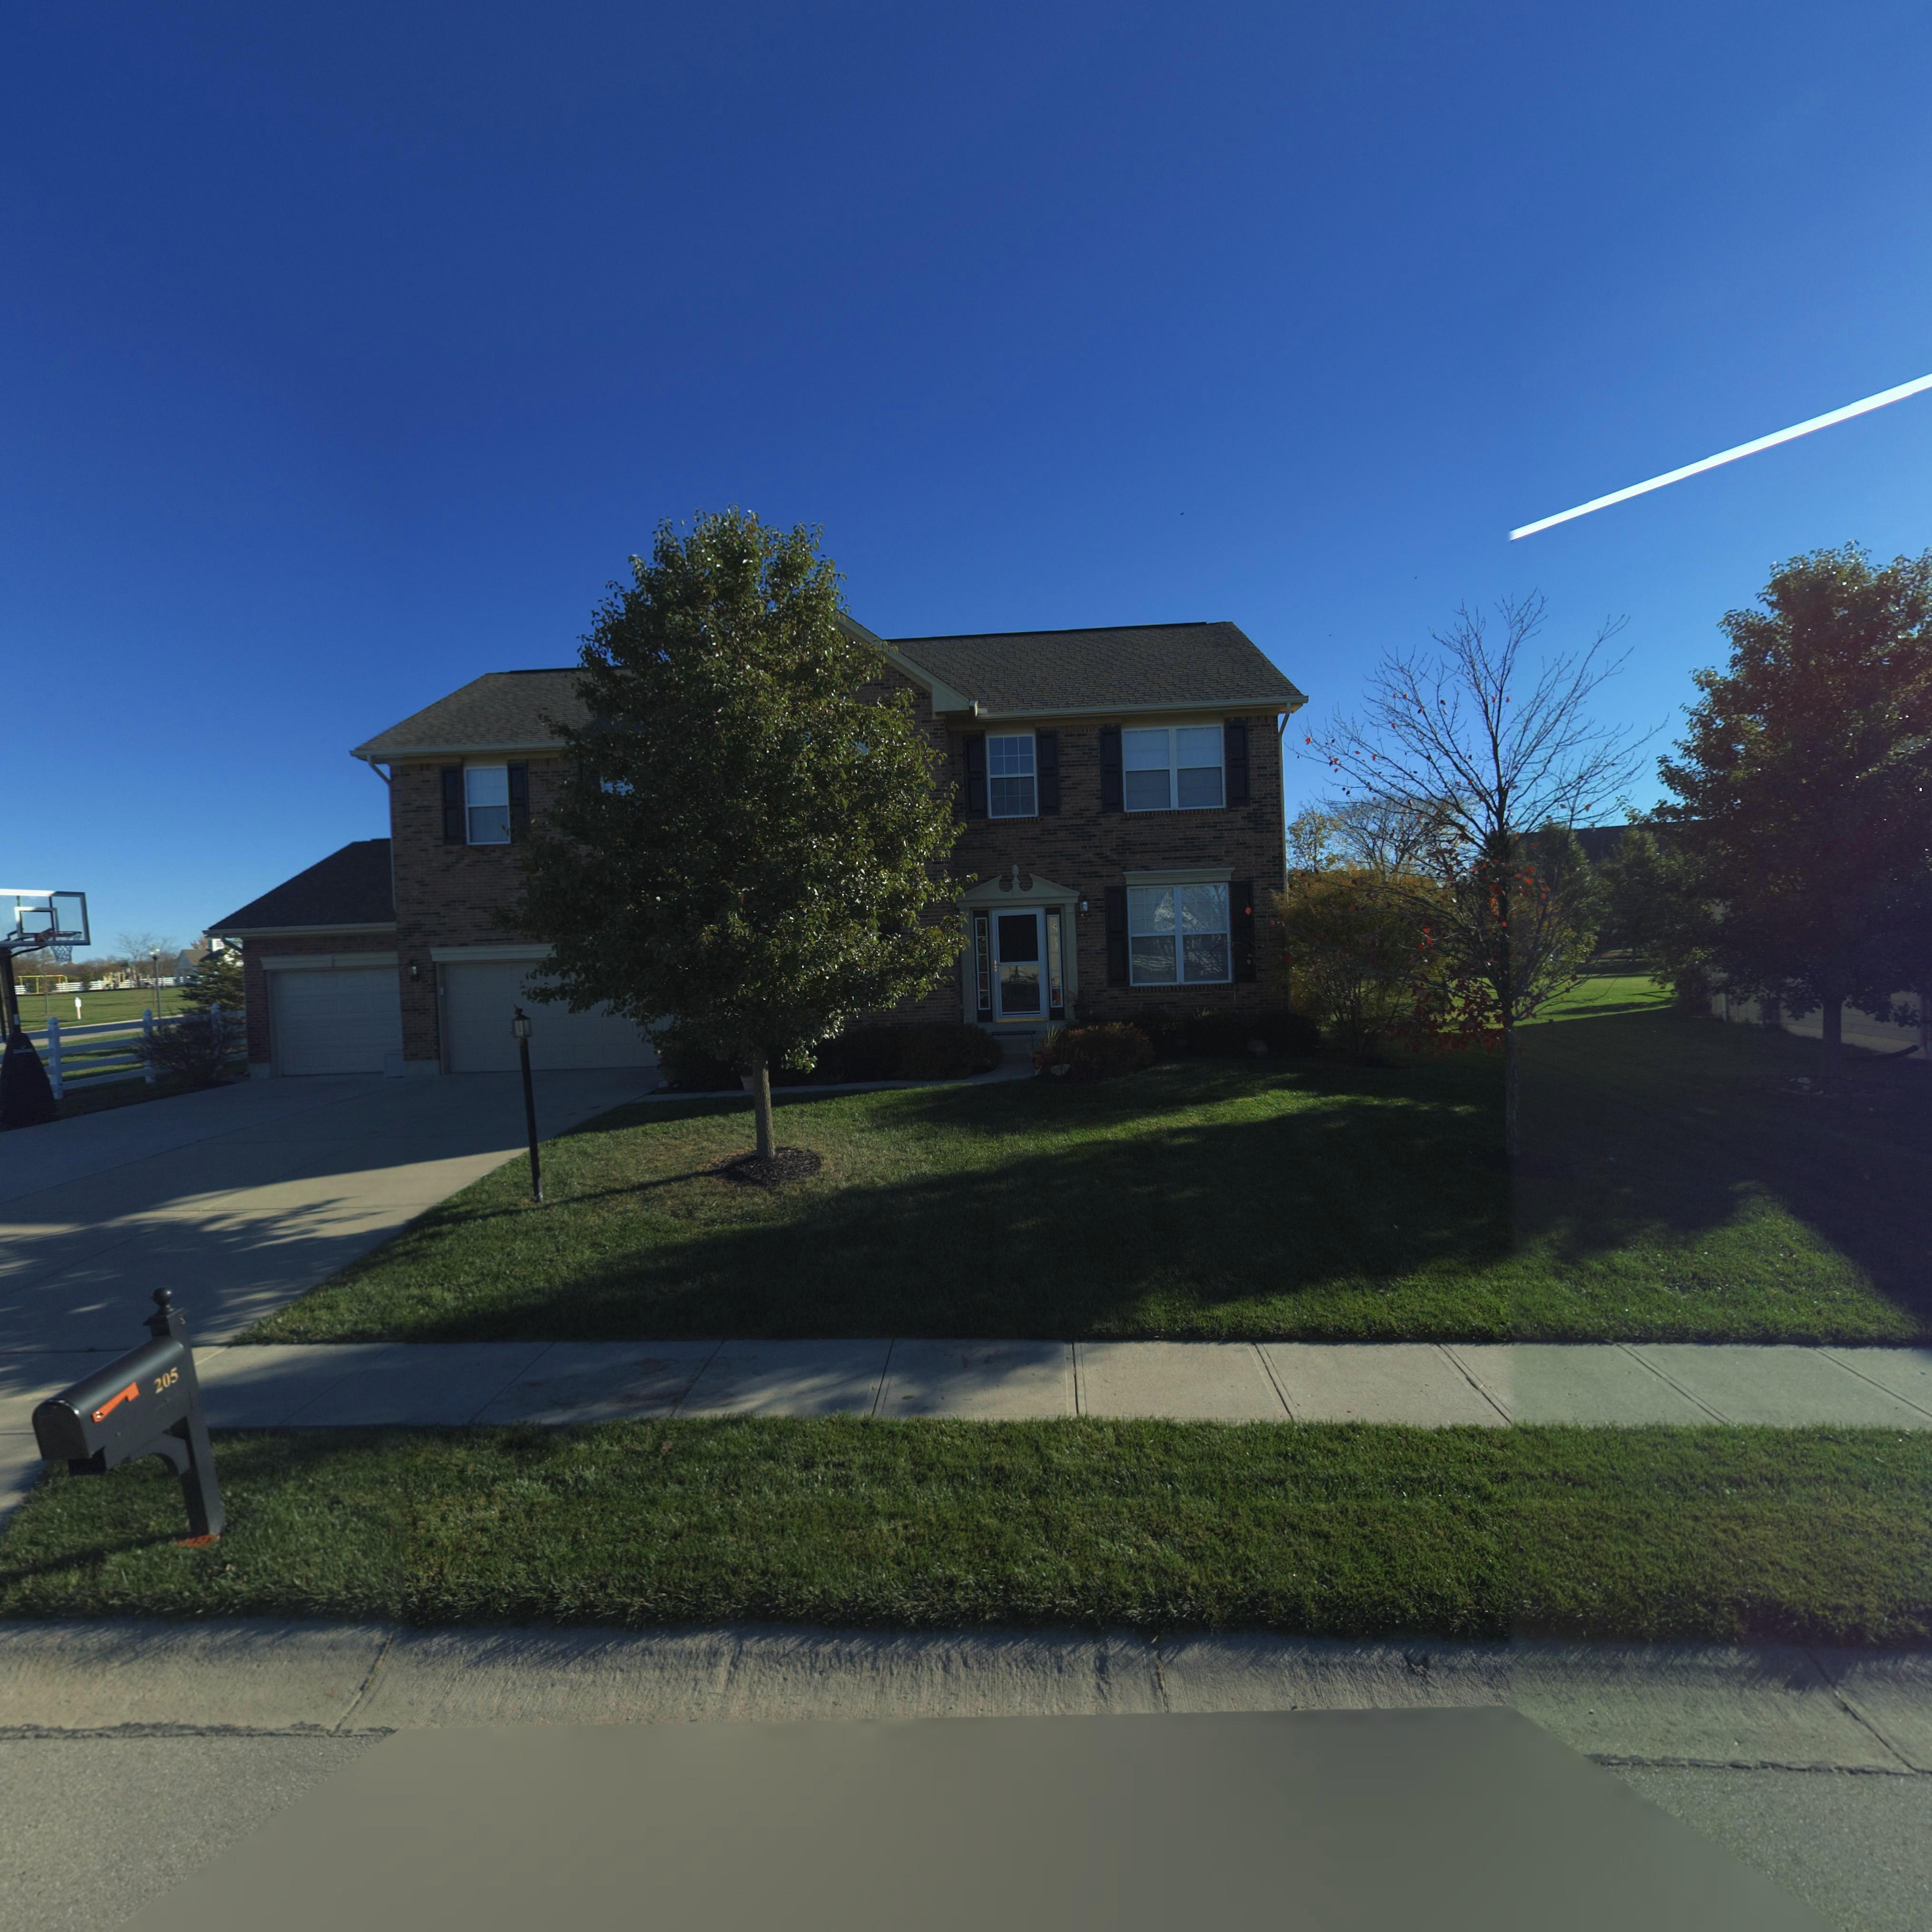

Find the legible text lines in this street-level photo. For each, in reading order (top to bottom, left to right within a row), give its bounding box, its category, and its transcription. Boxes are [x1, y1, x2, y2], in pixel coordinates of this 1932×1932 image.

[152, 1364, 180, 1396] StreetNumber: 205